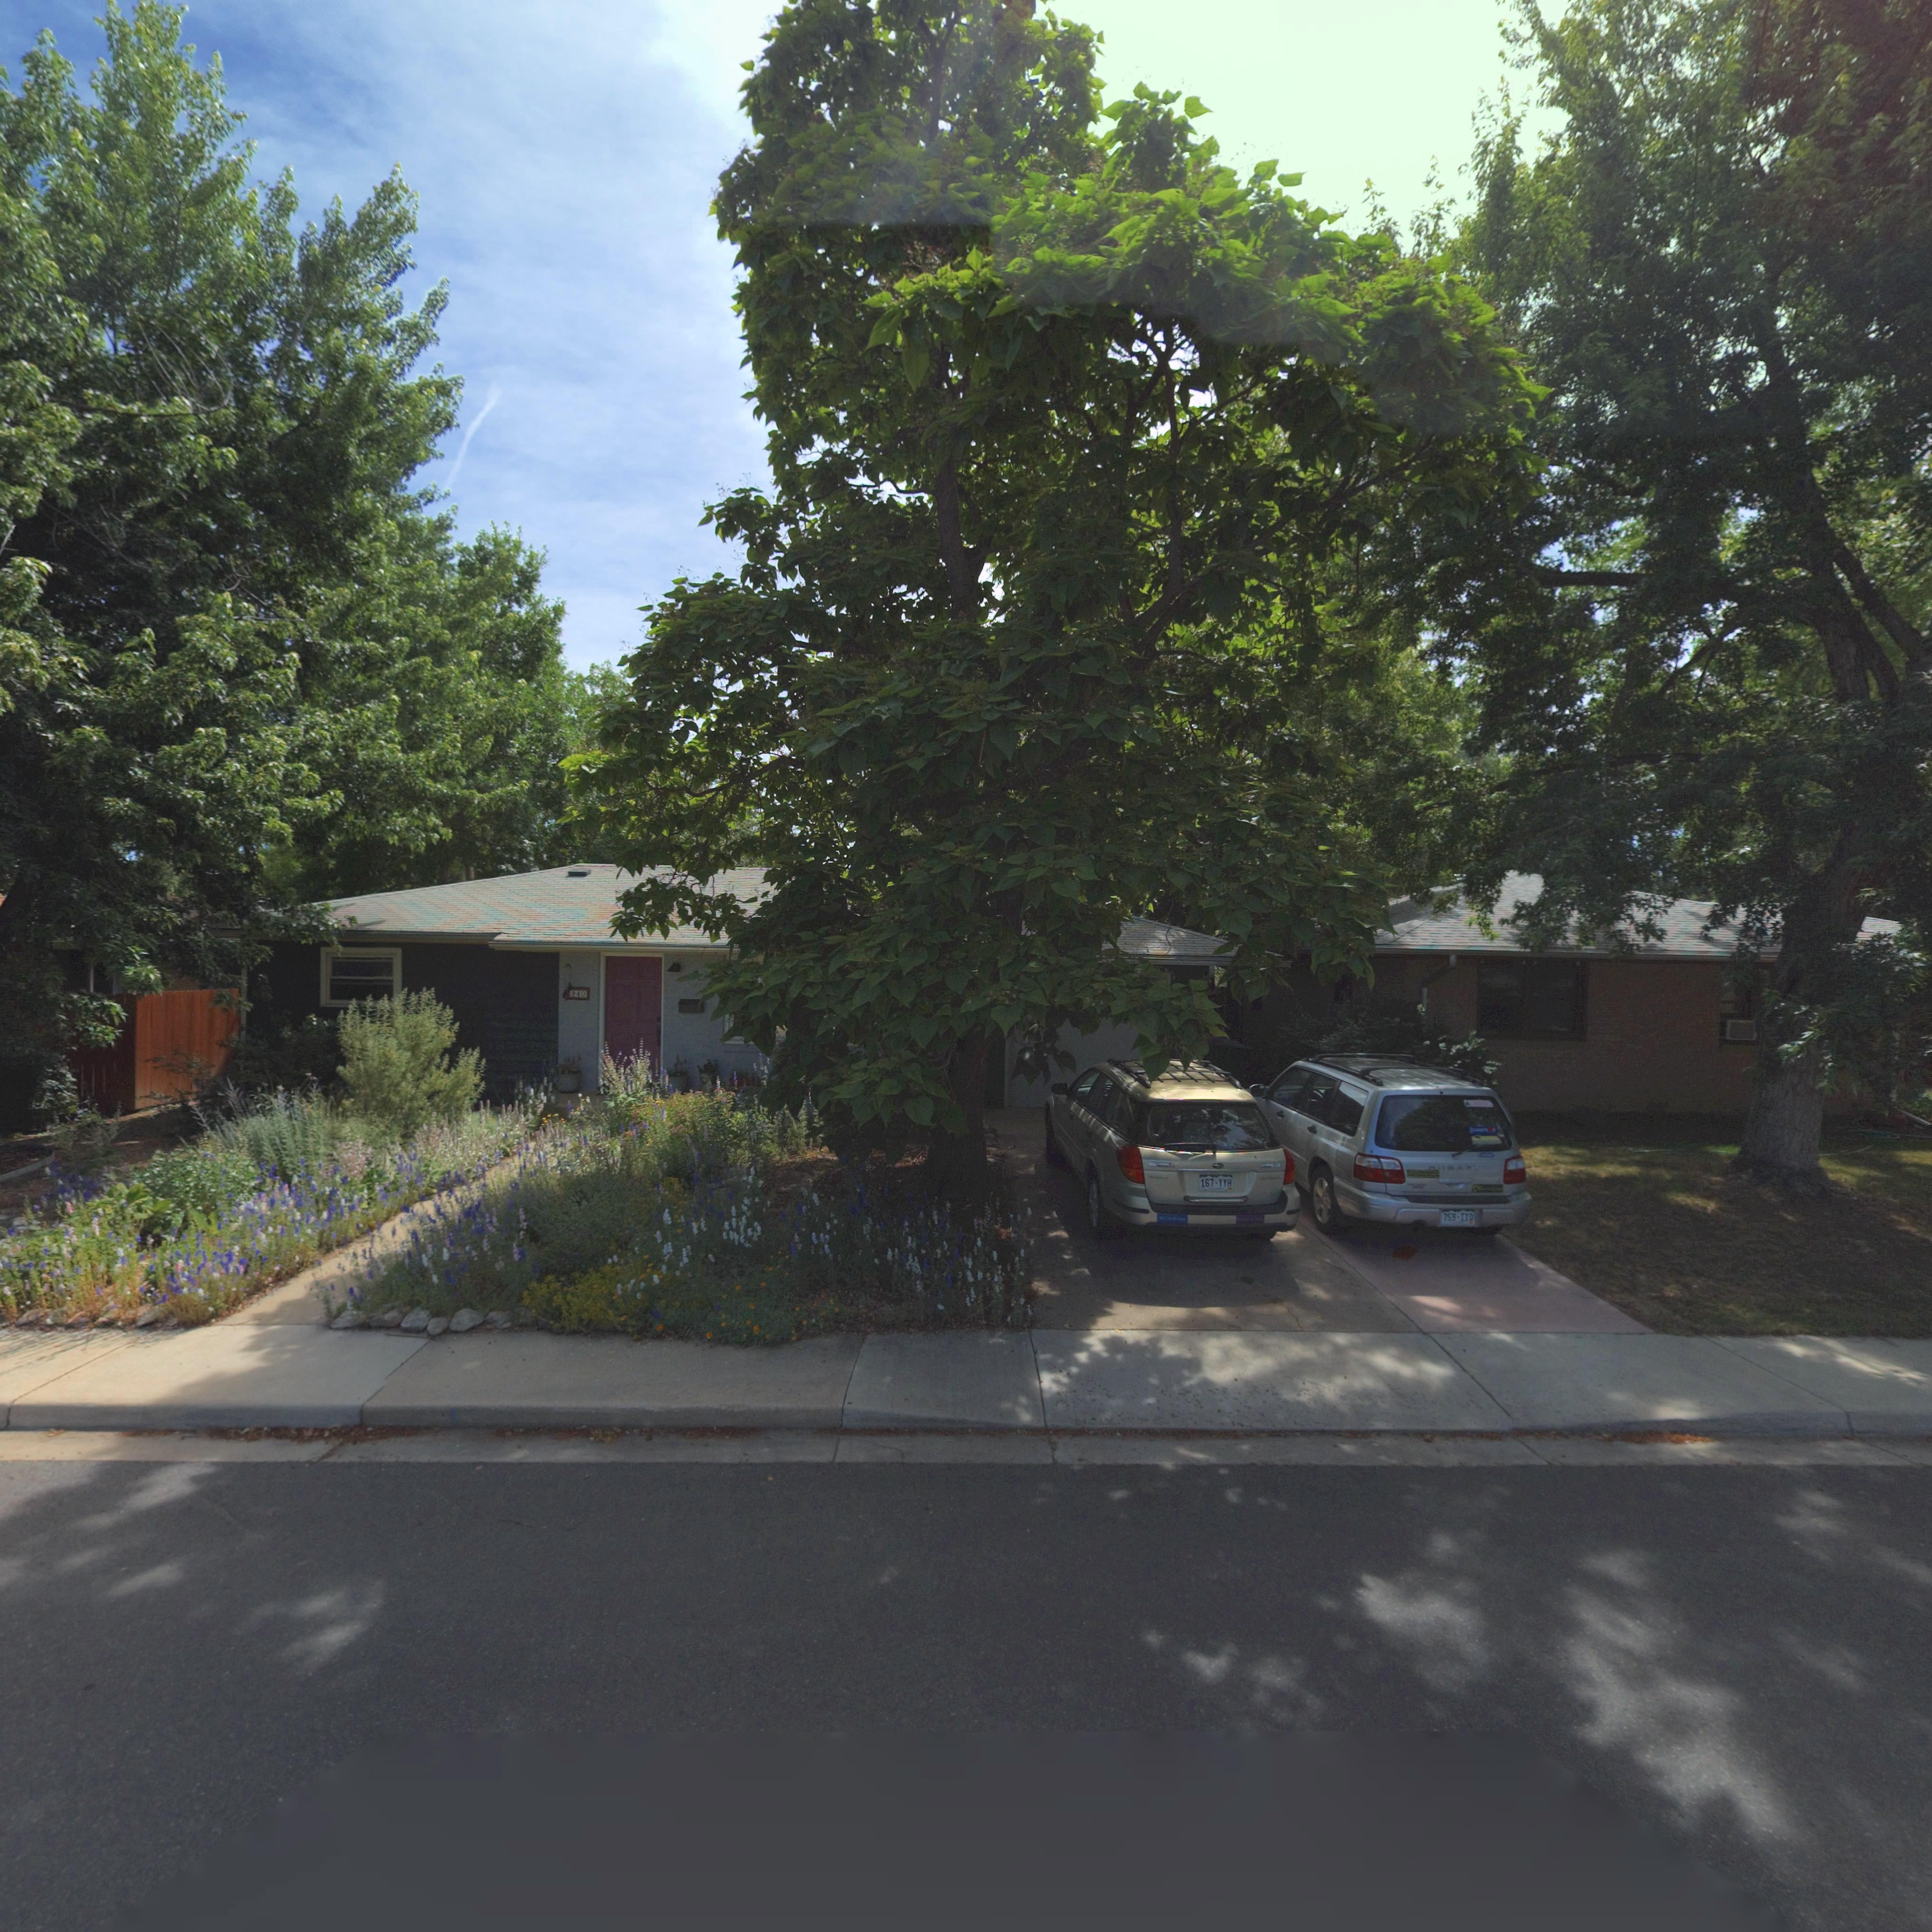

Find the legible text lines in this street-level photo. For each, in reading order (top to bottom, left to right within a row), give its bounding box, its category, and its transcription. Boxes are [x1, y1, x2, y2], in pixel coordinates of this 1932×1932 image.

[571, 990, 586, 997] StreetNumber: 940